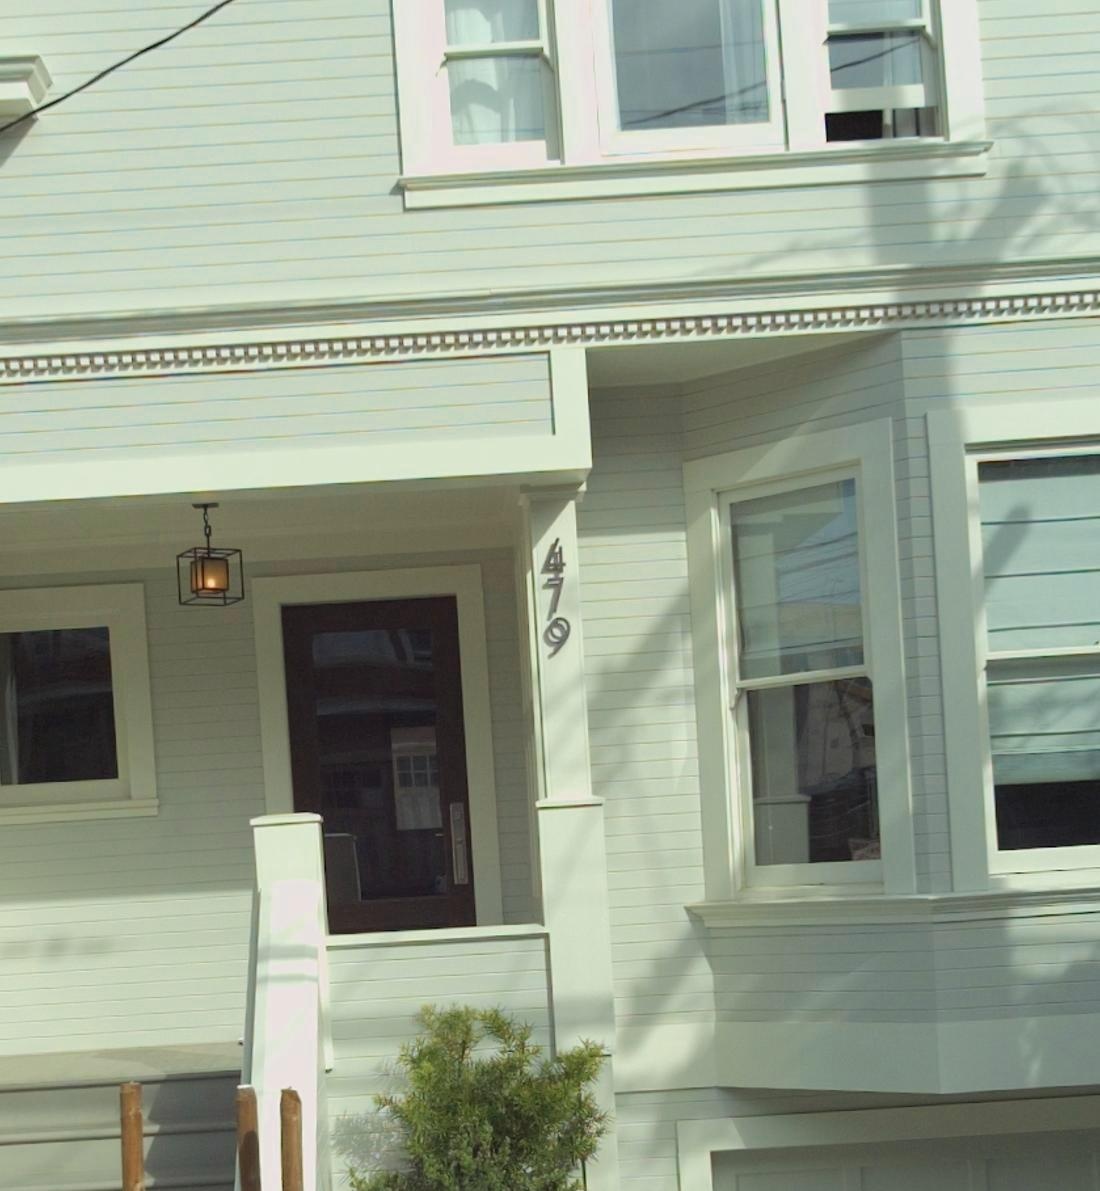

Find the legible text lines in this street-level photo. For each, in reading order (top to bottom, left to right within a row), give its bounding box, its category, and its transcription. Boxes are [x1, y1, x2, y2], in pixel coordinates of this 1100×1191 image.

[543, 535, 571, 657] StreetNumber: 479